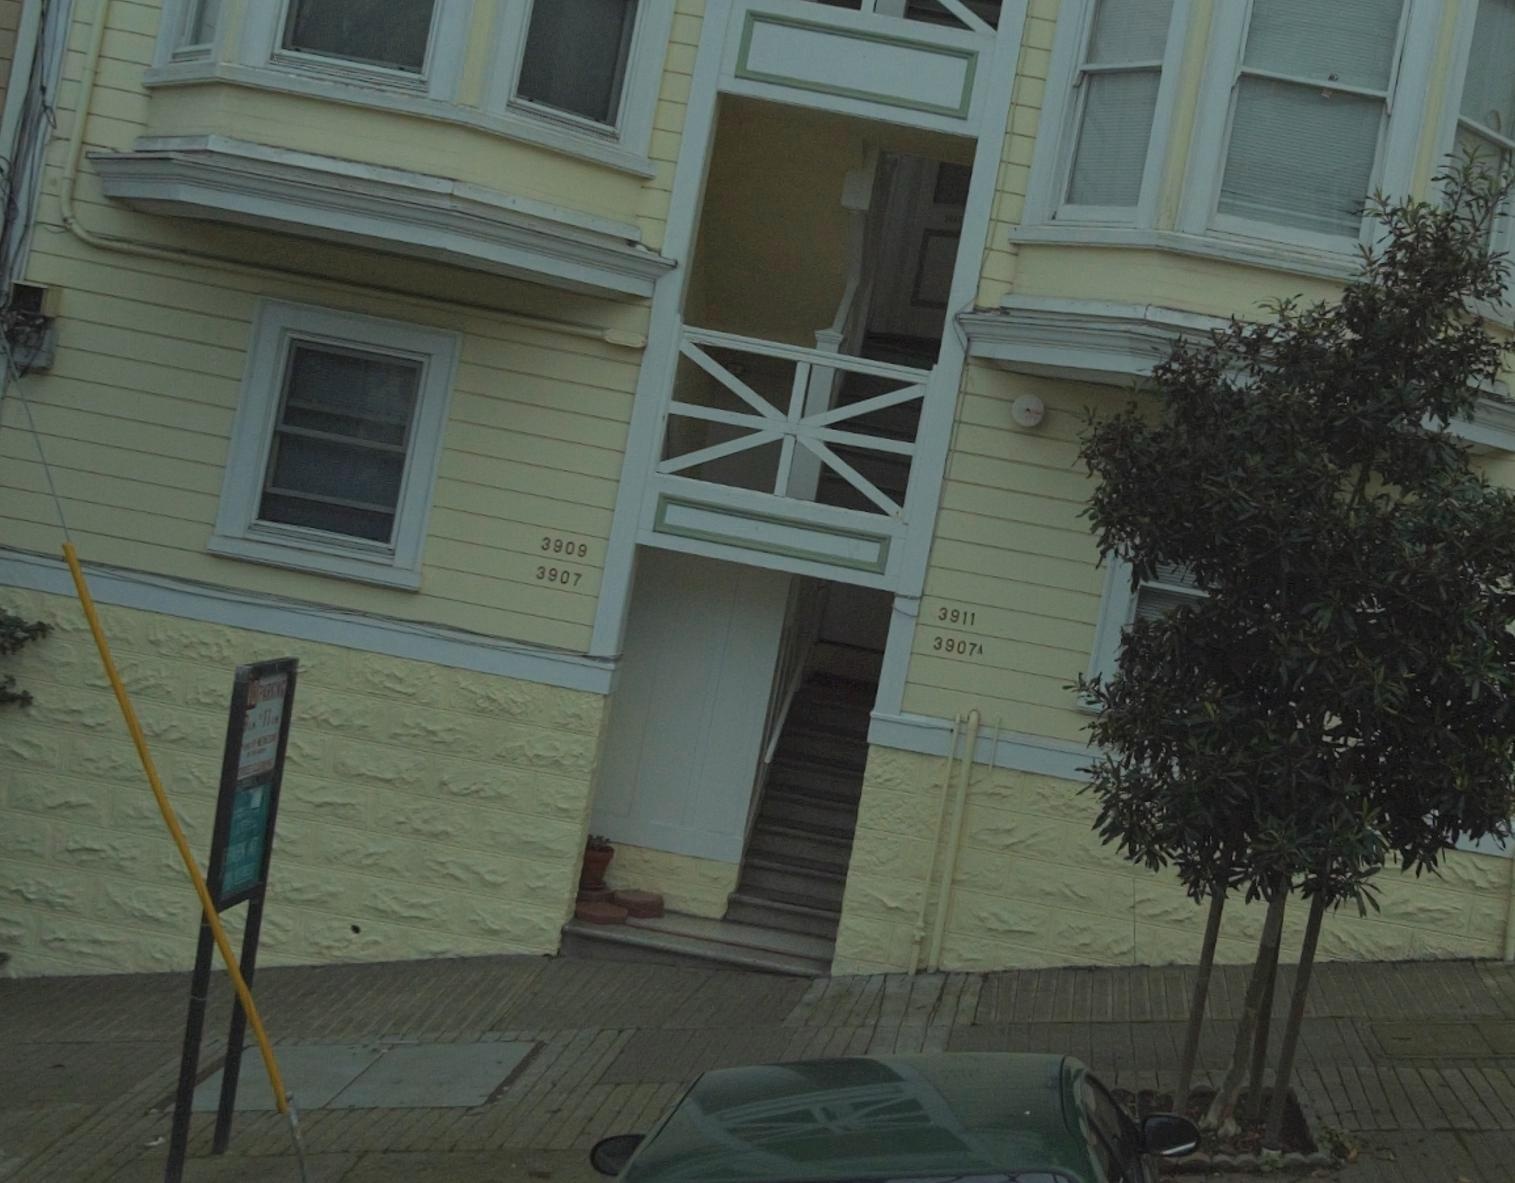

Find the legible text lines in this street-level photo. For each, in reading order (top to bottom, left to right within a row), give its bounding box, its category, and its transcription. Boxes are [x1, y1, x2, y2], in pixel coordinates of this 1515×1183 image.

[539, 535, 589, 559] StreetNumber: 3909
[534, 564, 584, 587] StreetNumber: 3907
[937, 605, 976, 627] StreetNumber: 3911
[931, 634, 985, 659] StreetNumber: 3907A
[256, 679, 287, 703] None: PARKING
[261, 706, 283, 729] None: 11 A.M.